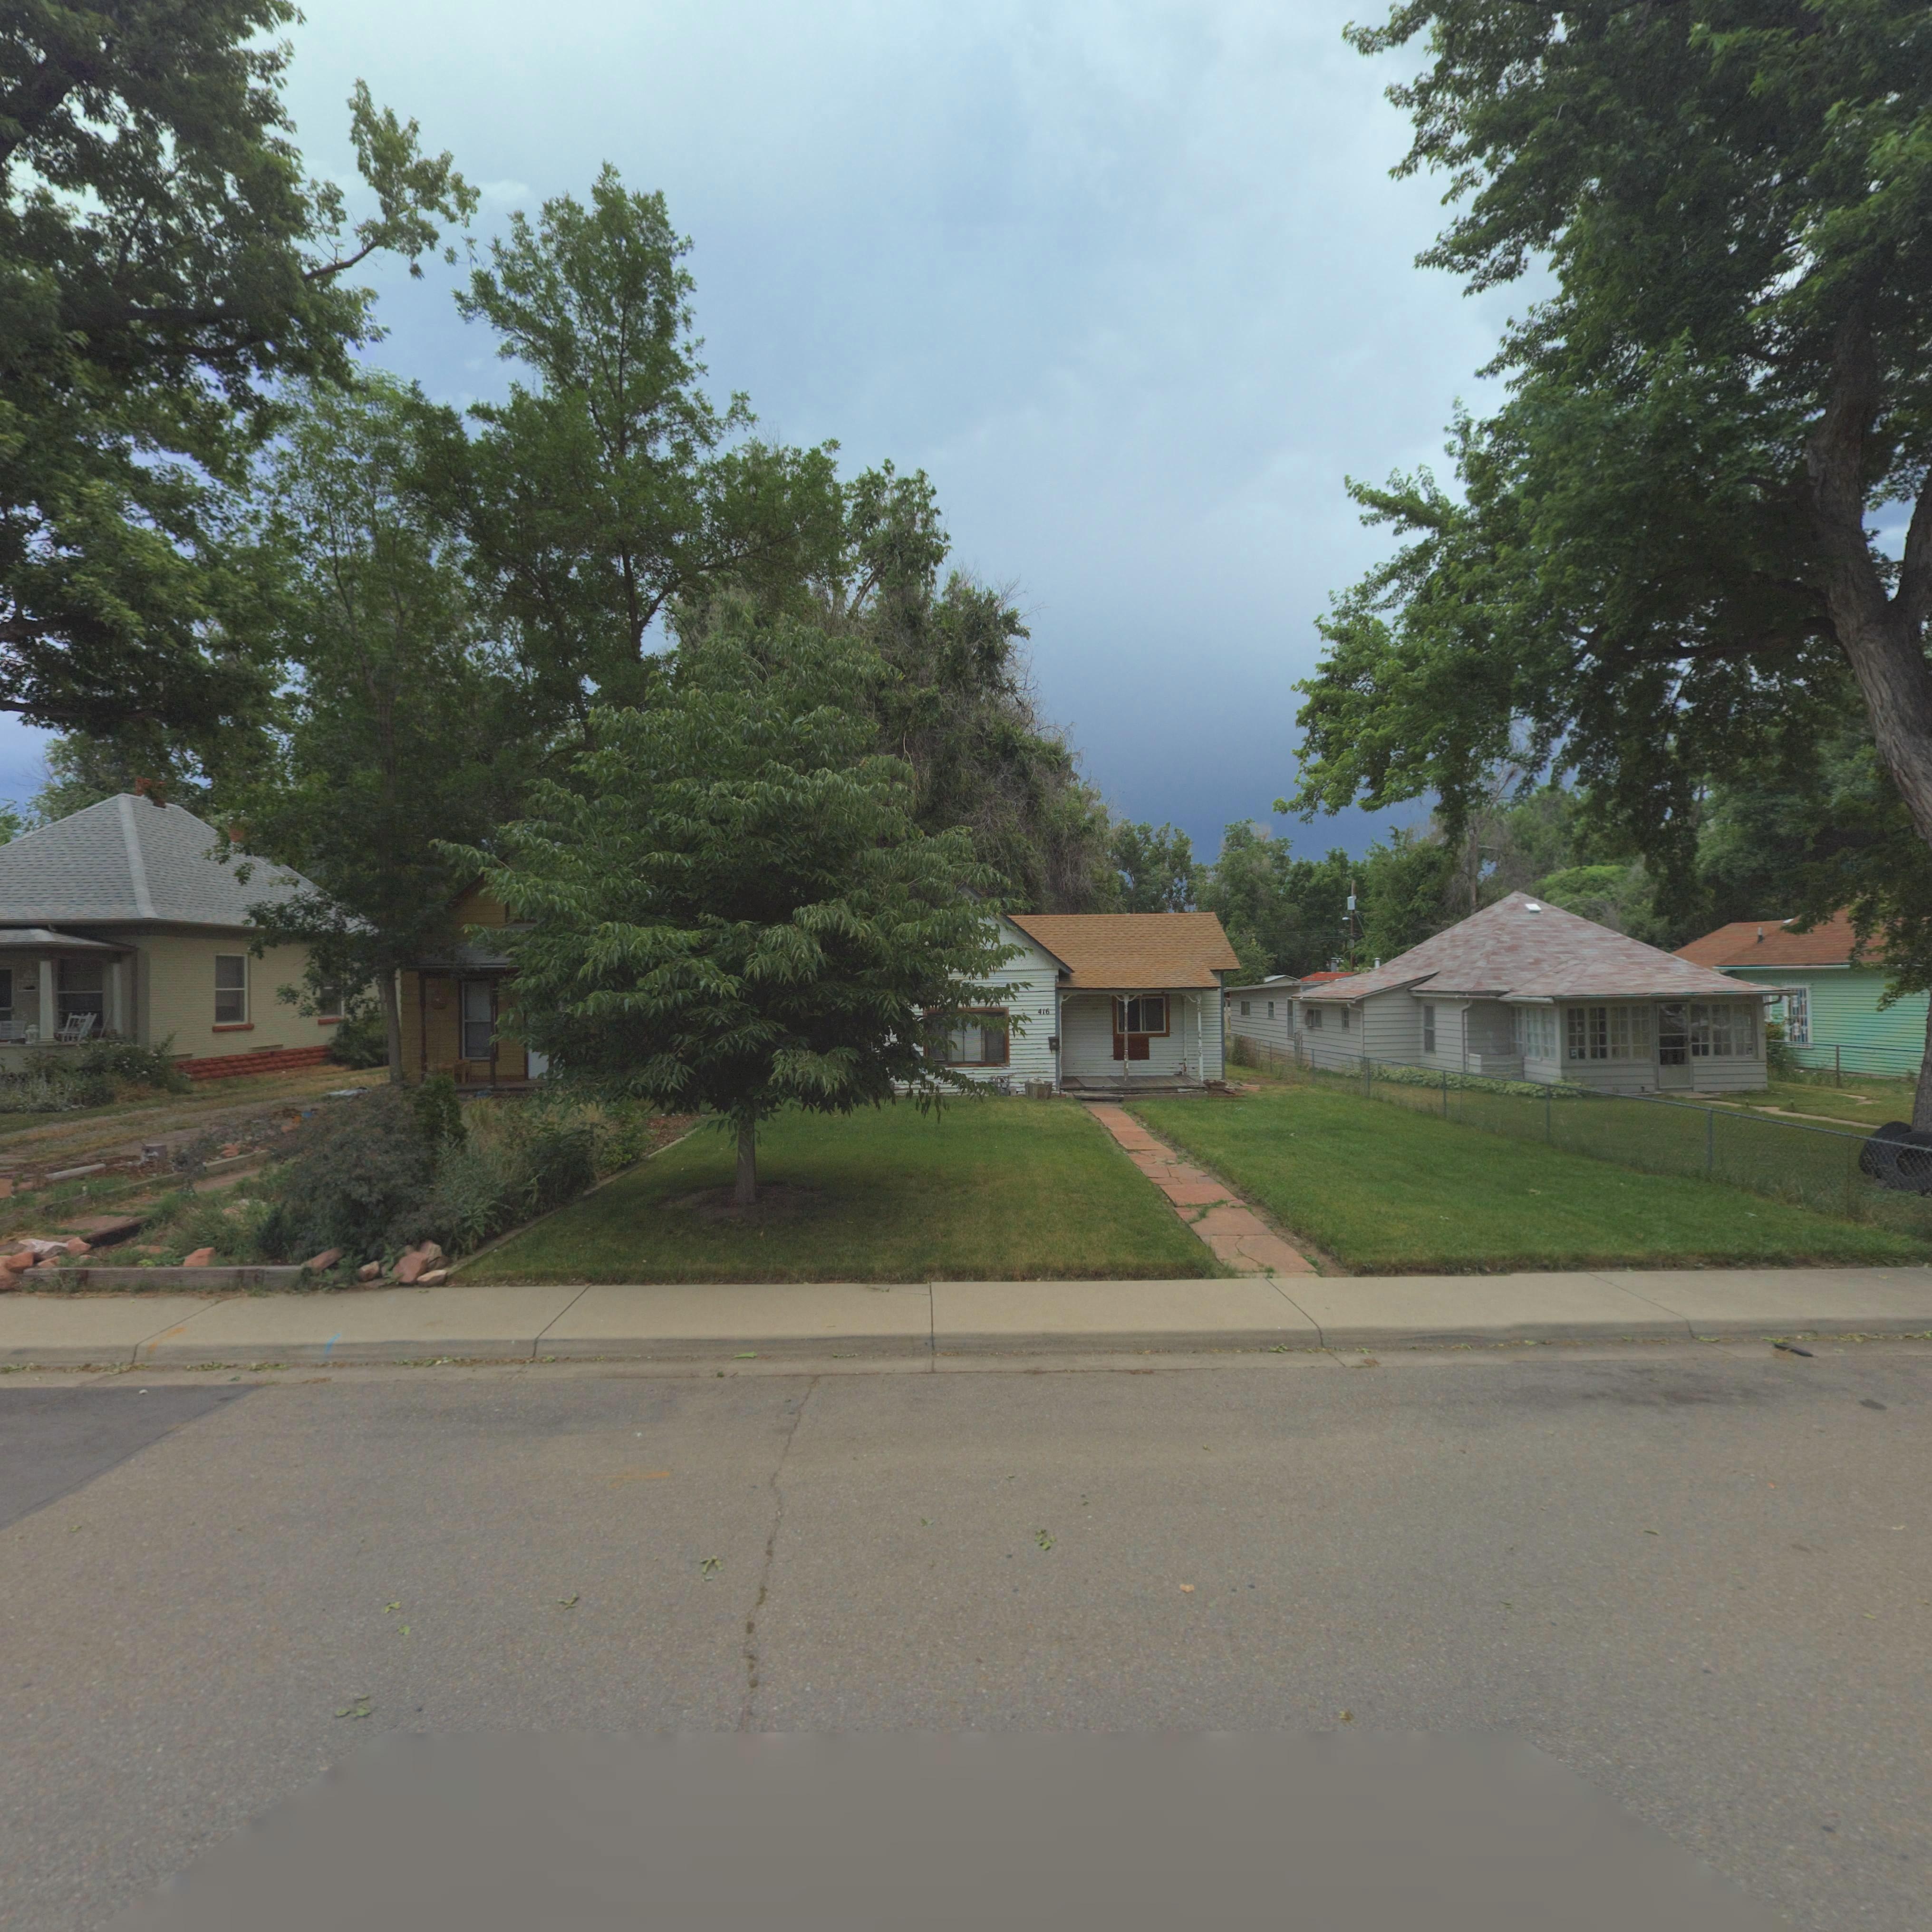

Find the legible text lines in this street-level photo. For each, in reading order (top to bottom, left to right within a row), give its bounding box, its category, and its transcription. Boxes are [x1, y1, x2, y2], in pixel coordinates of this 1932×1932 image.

[1037, 1007, 1050, 1015] StreetNumber: 416